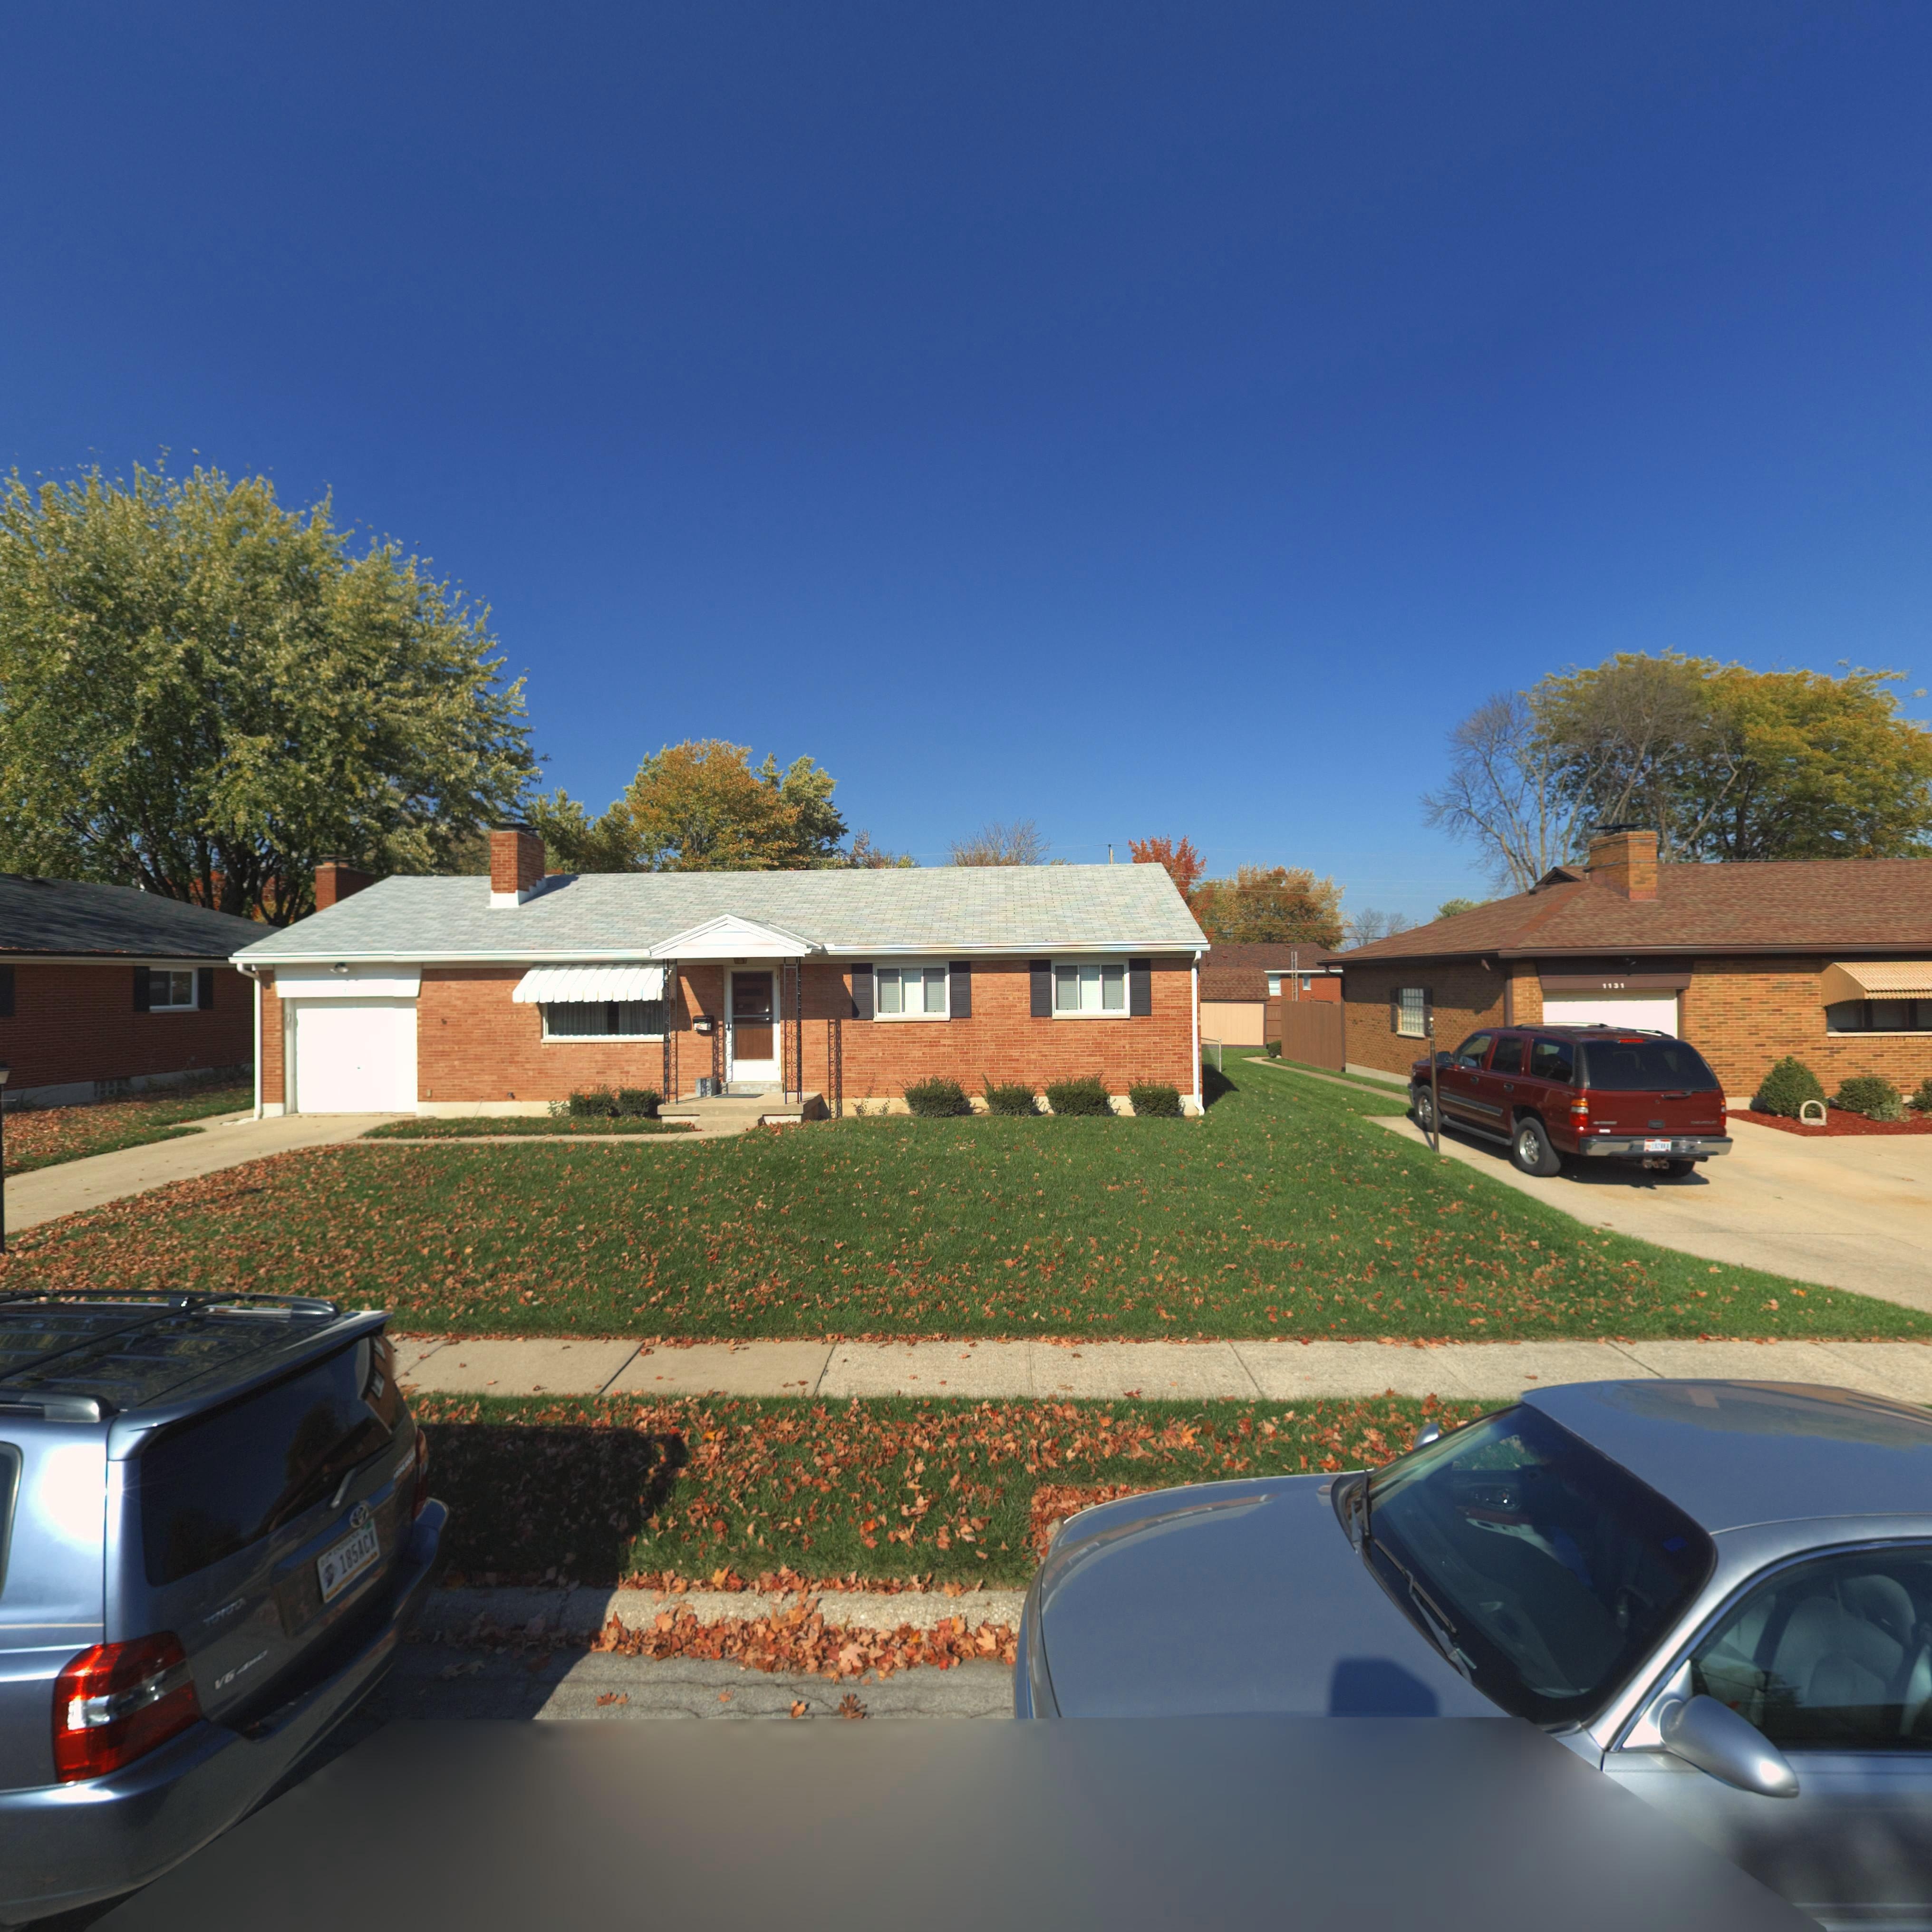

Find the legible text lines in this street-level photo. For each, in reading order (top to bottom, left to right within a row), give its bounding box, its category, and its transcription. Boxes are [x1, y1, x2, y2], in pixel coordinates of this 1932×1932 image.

[1602, 982, 1624, 989] StreetNumber: 1131
[1690, 1119, 1717, 1123] None: CHEVROLET
[1651, 1143, 1670, 1149] None: 192XKA
[392, 1448, 416, 1484] None: HIGHLANDER
[332, 1528, 361, 1557] None: INDIANA
[337, 1527, 377, 1576] None: 185ACX
[203, 1596, 248, 1629] None: TOYOTA
[213, 1647, 268, 1692] None: V6 4WD